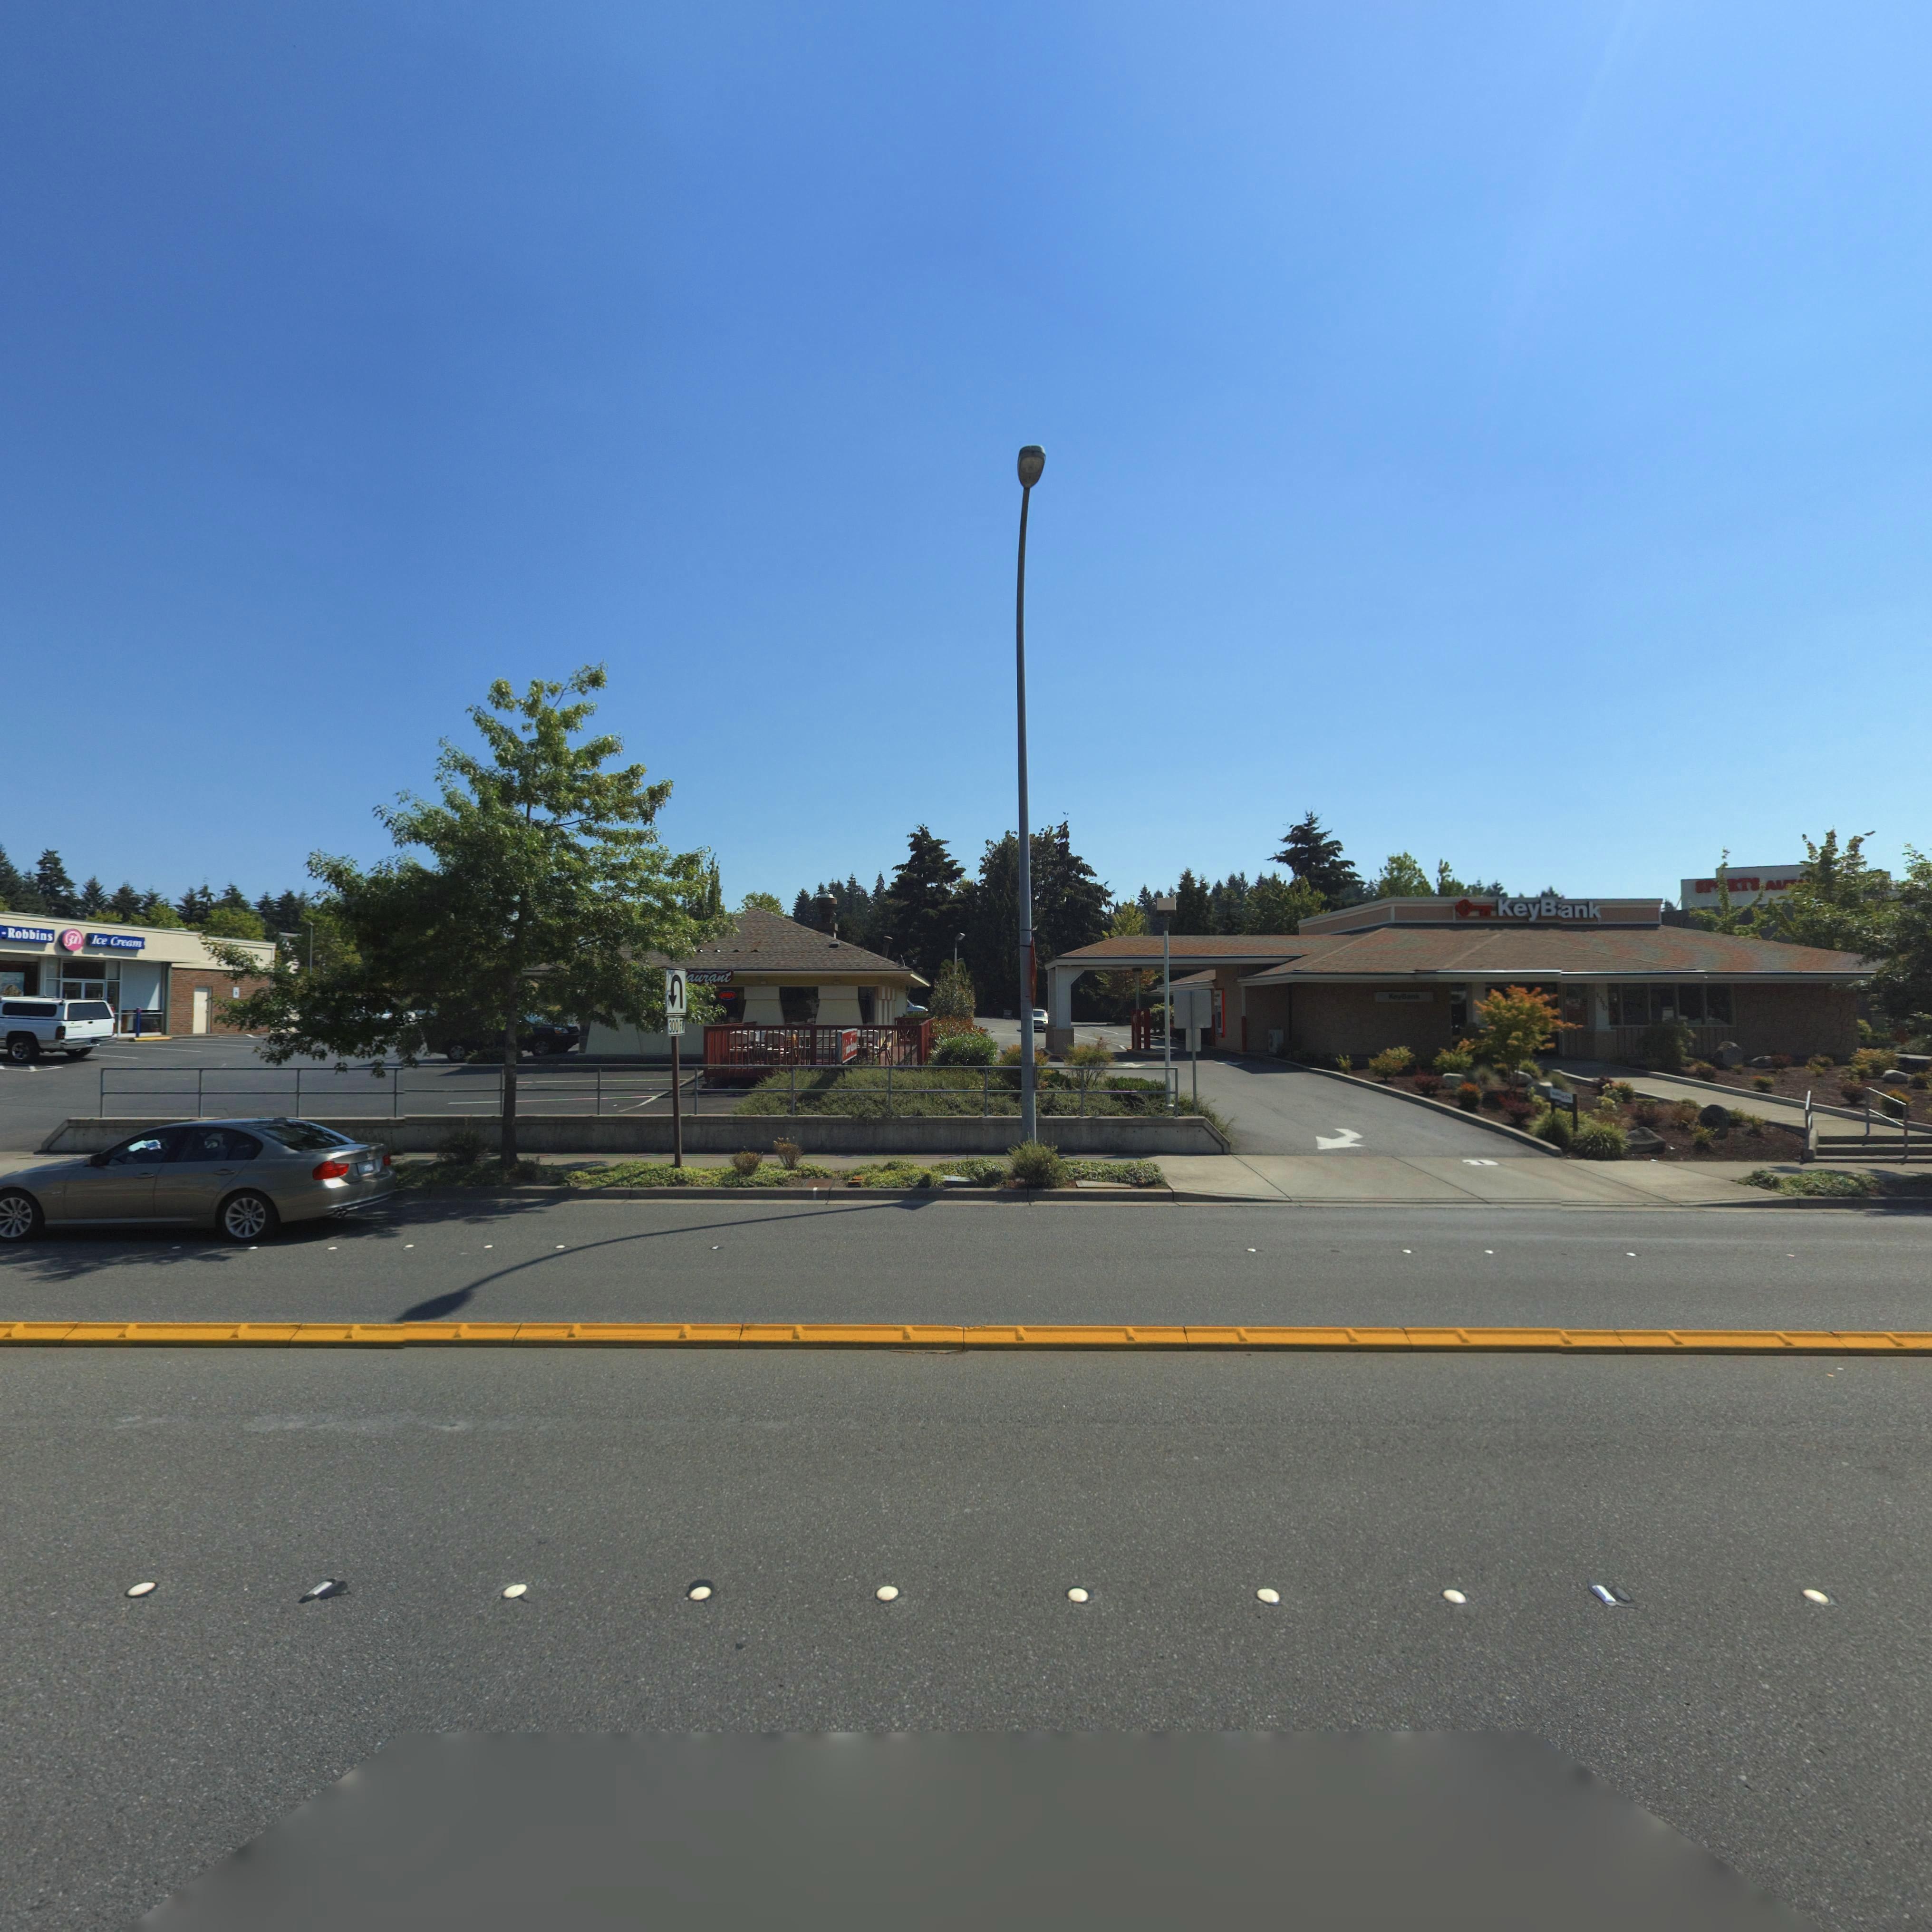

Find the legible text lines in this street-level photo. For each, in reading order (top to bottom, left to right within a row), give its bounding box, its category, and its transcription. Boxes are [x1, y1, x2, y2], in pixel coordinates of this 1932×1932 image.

[1498, 897, 1600, 921] BusinessName: KeyBank
[6, 927, 56, 944] BusinessName: Robbins
[62, 934, 79, 947] BusinessName: 31
[89, 933, 143, 948] BusinessName: Ice Cream
[1594, 989, 1609, 1012] StreetNumber: 1350
[668, 1019, 681, 1034] TrafficSign: 300